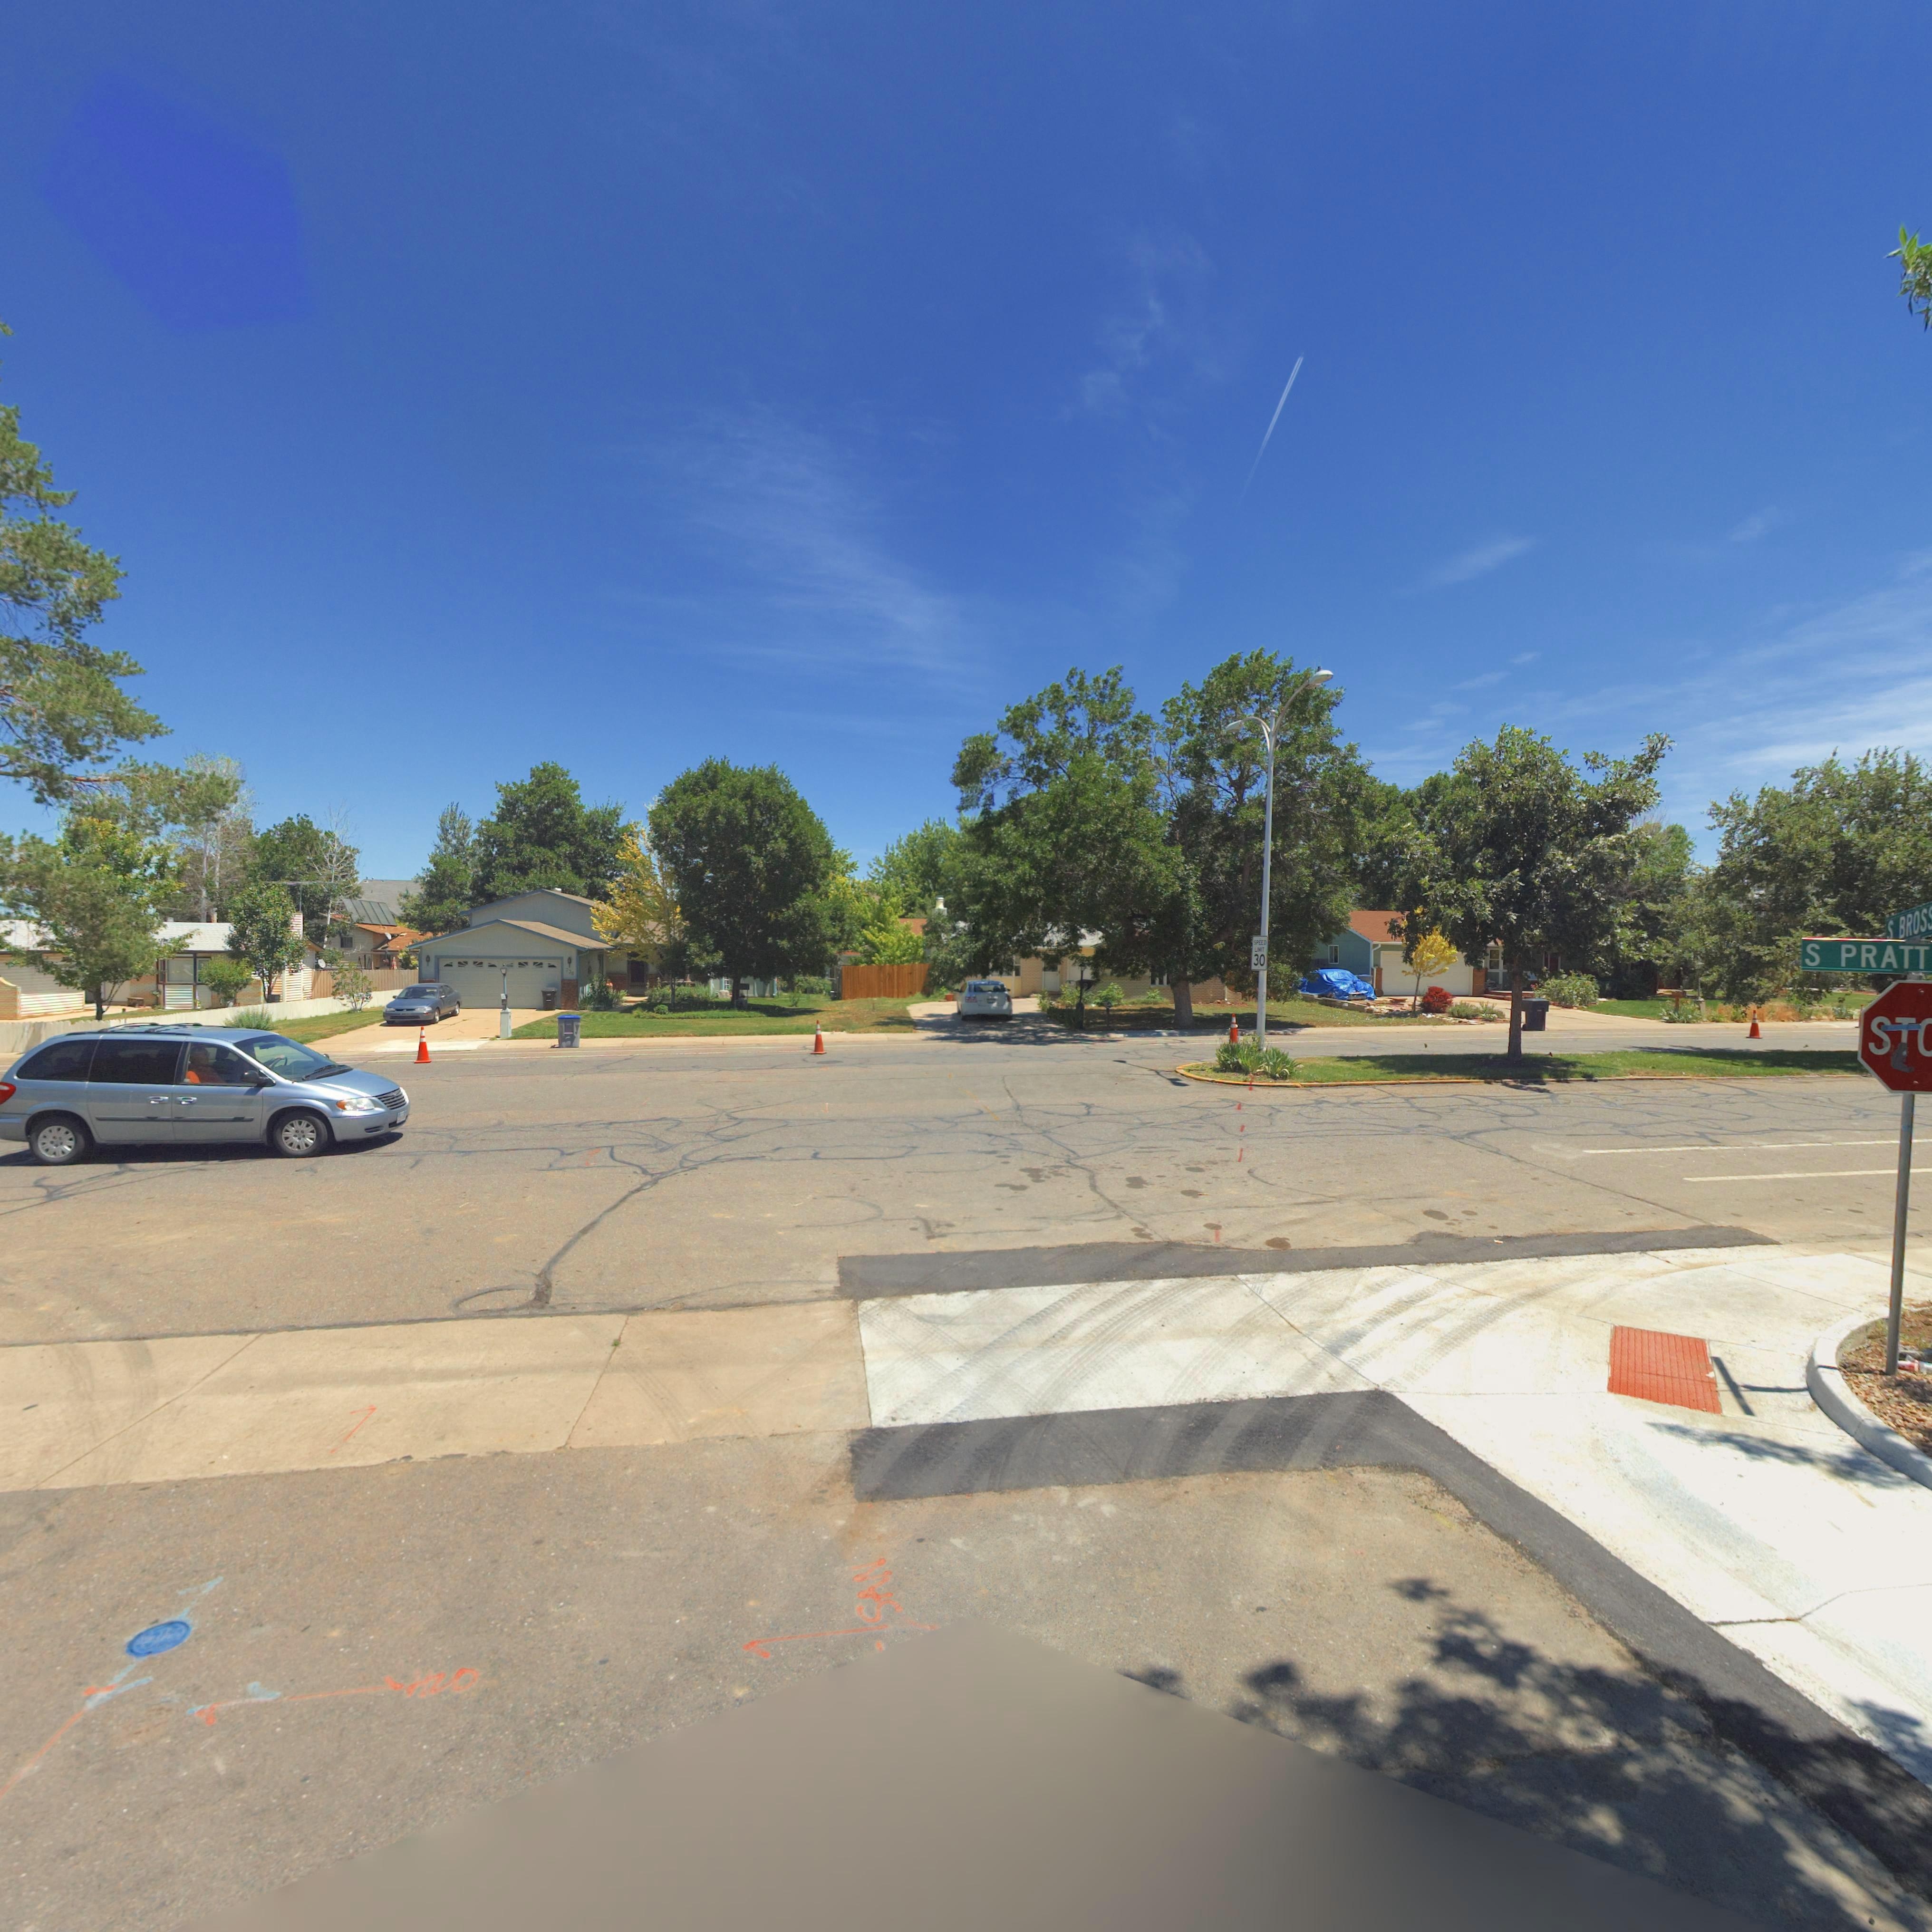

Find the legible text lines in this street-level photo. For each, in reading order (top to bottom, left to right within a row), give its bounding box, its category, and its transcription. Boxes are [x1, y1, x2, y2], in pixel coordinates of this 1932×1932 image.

[1886, 907, 1928, 939] StreetName: S BROS
[1804, 943, 1931, 970] StreetName: S PRATT
[565, 967, 574, 976] StreetNumber: 73*